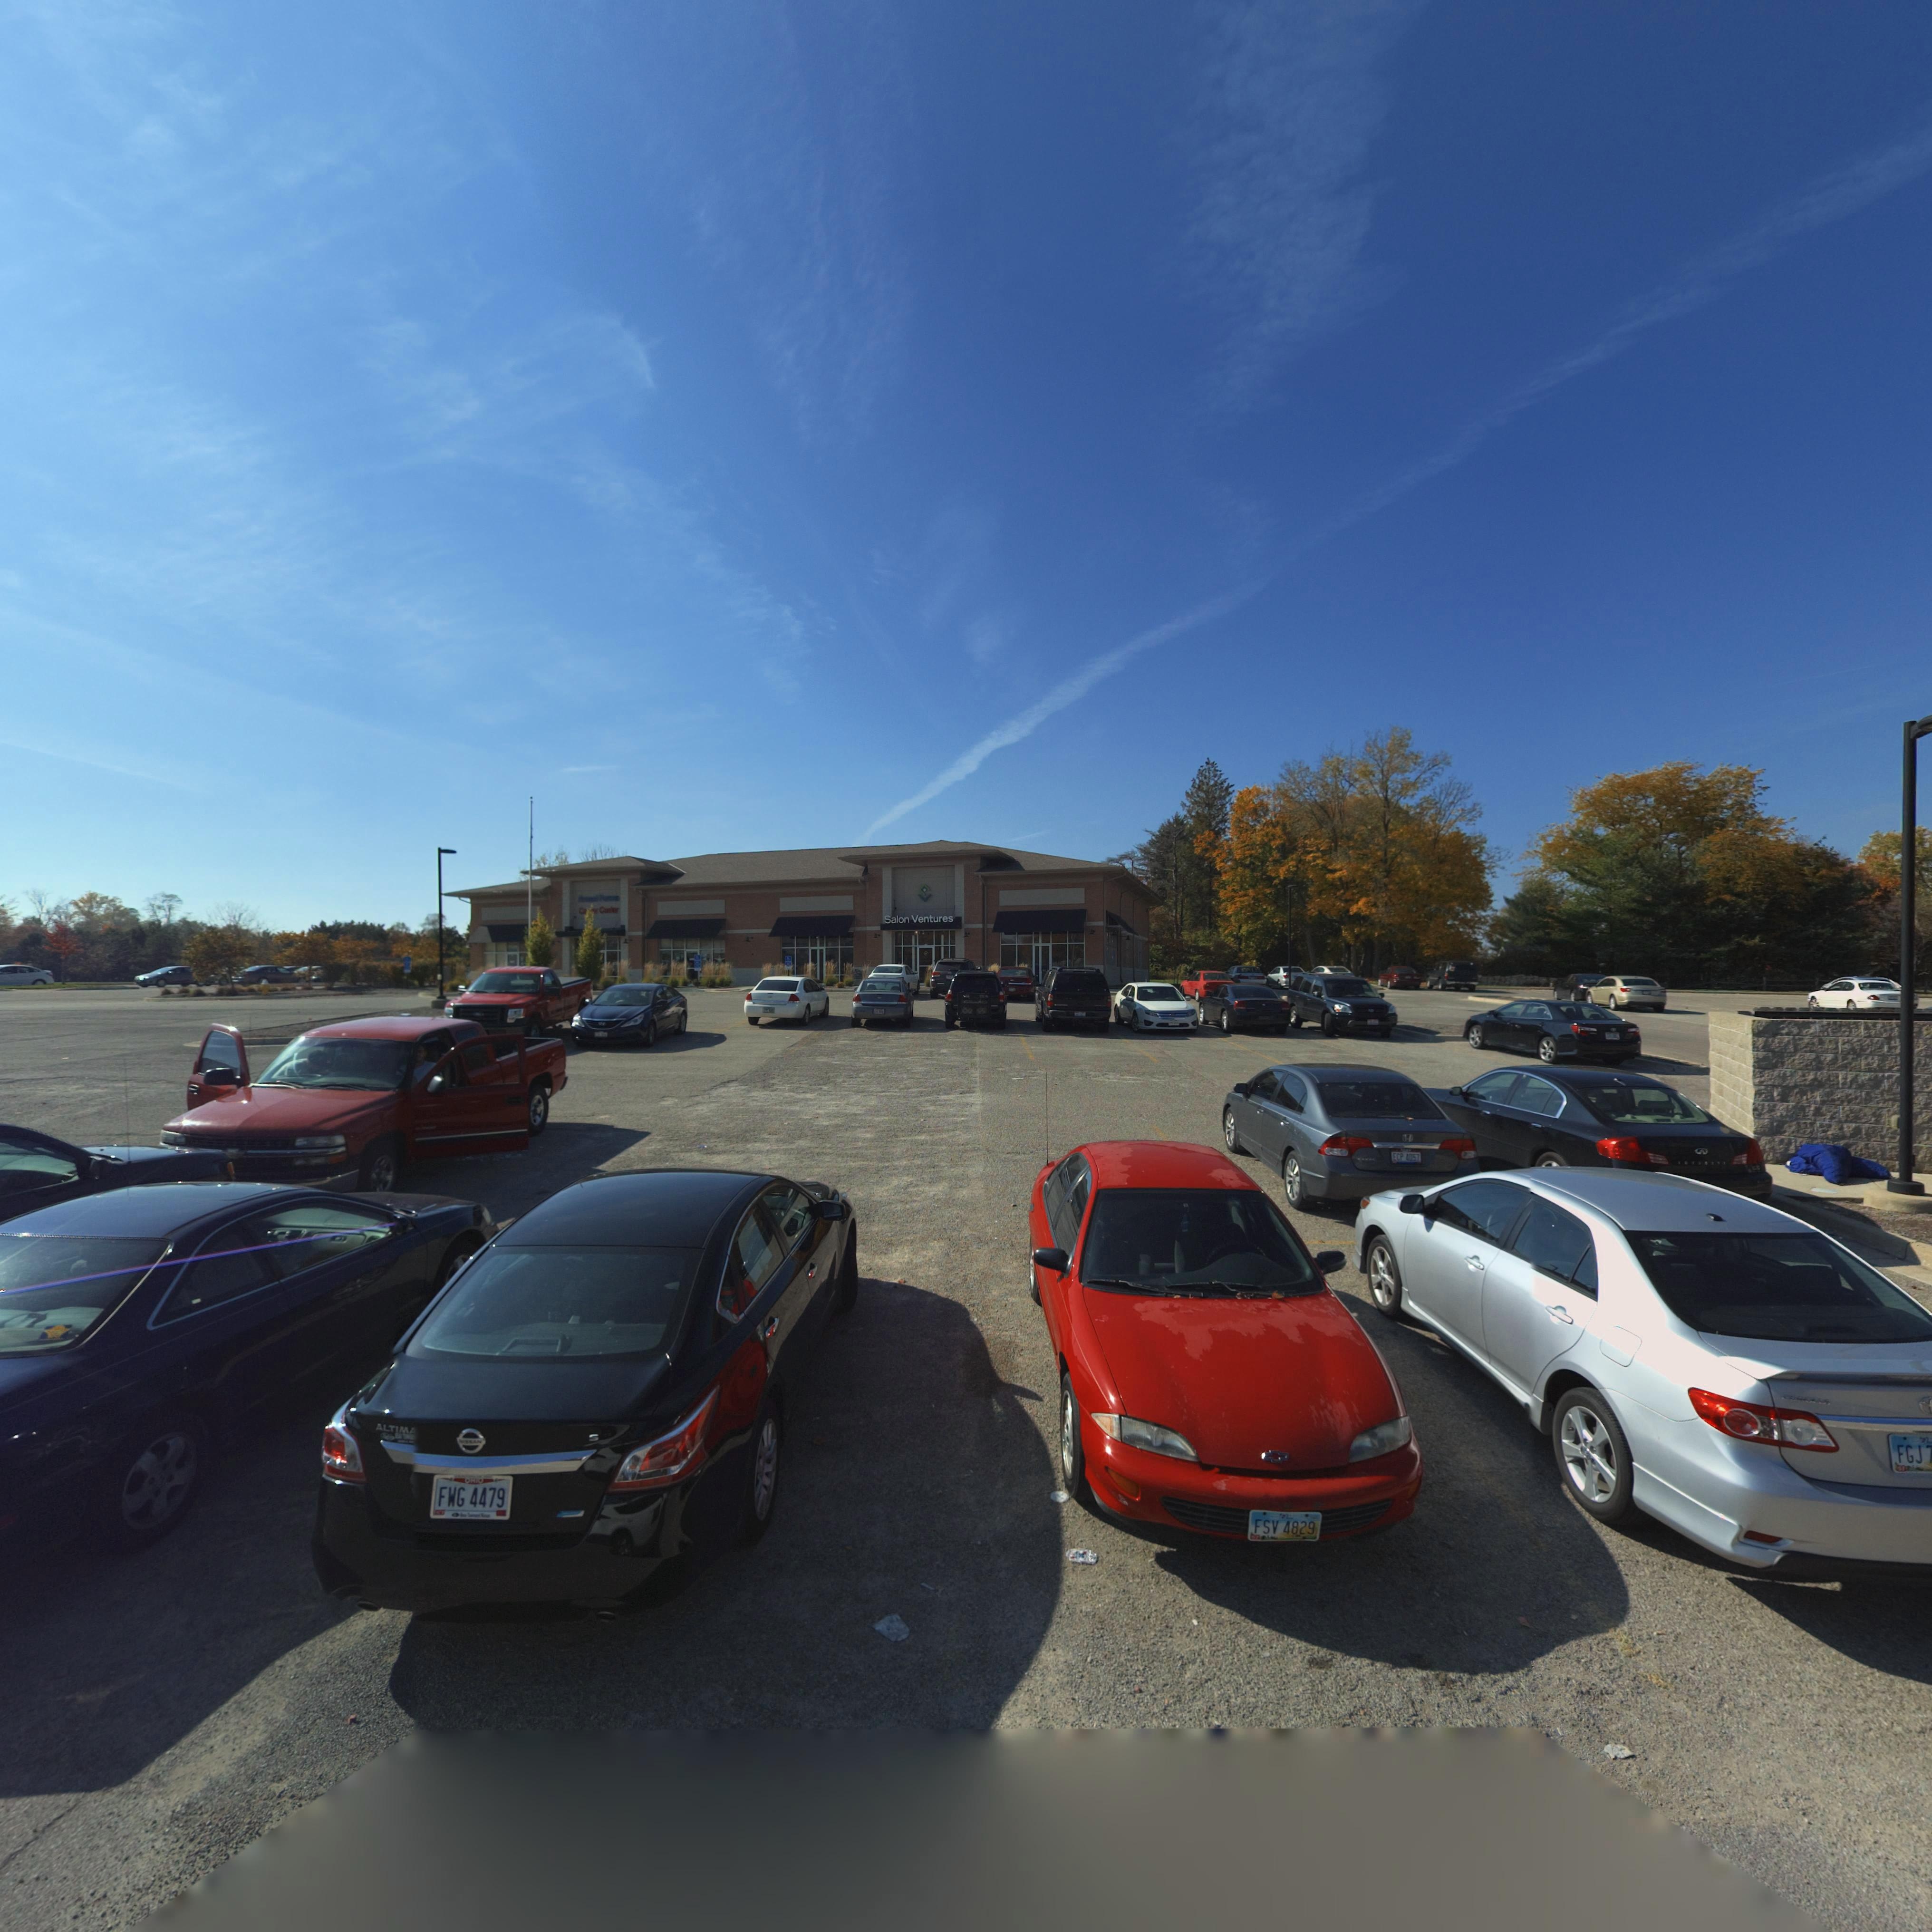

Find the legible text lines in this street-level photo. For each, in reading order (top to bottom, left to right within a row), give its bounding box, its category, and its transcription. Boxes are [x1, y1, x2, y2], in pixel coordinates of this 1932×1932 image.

[883, 914, 955, 925] BusinessName: Salon Ventures